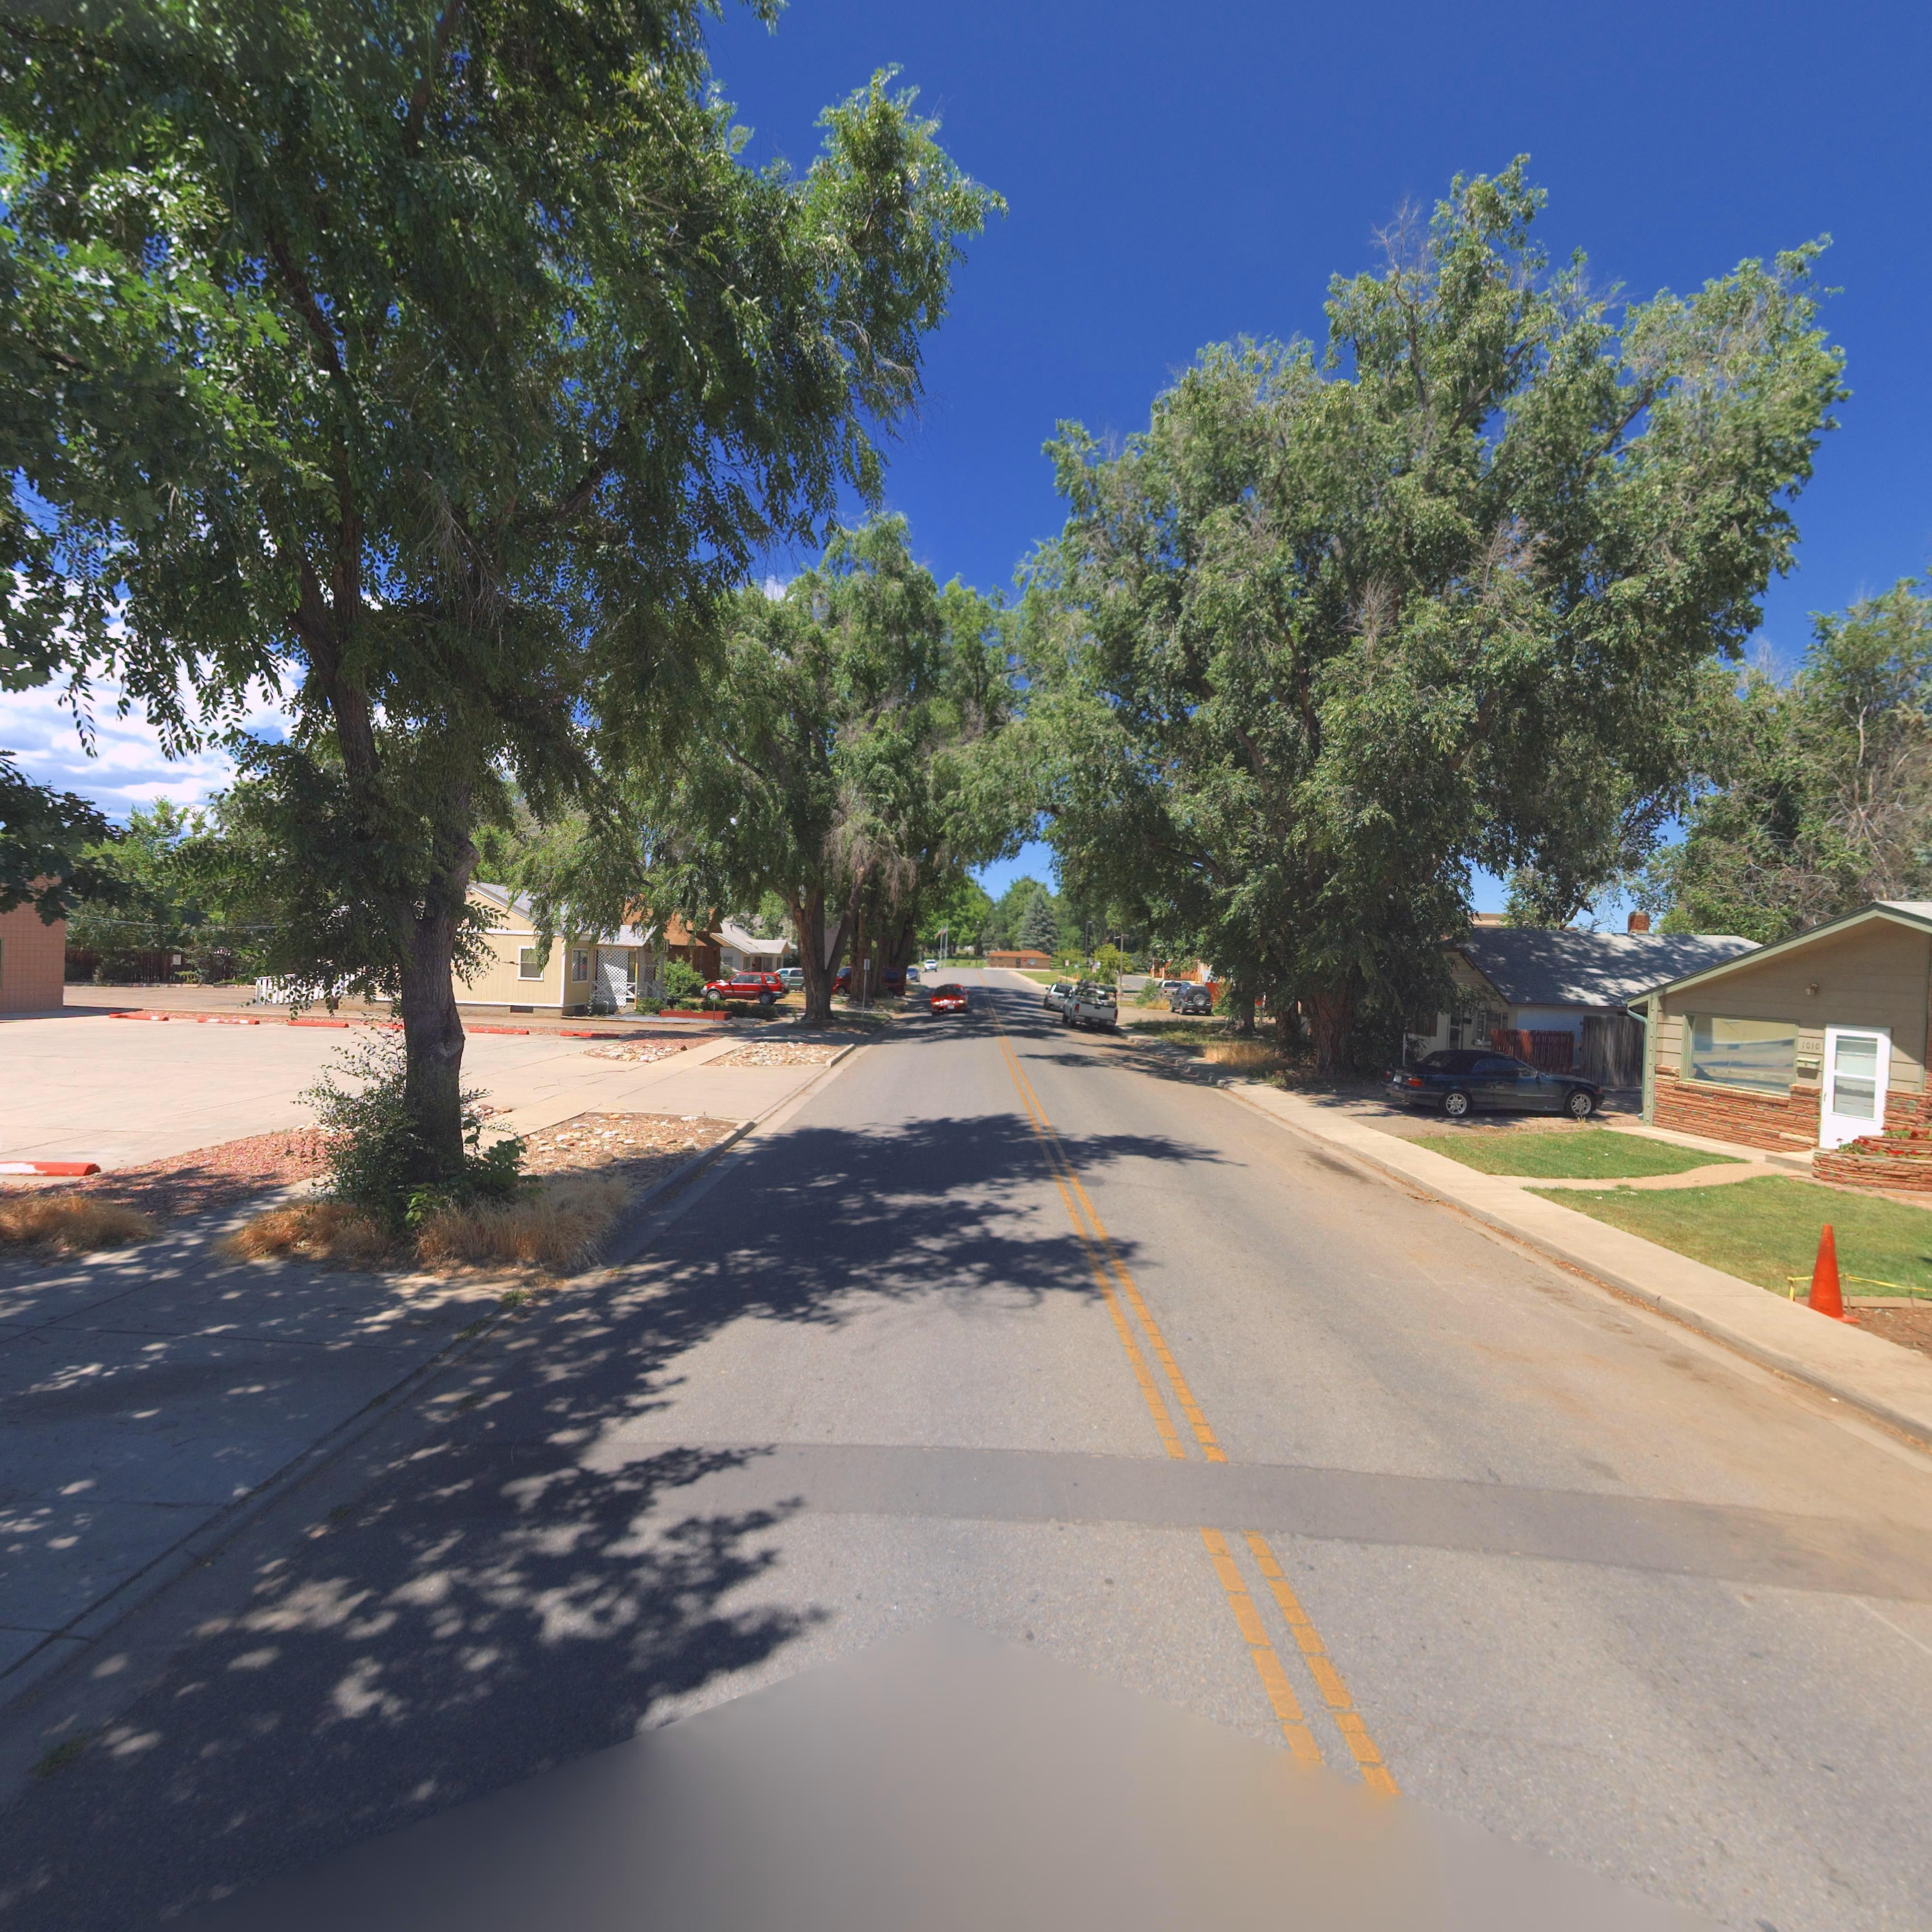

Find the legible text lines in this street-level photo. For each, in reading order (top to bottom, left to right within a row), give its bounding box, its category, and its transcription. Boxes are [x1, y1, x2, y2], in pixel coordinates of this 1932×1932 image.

[661, 940, 667, 951] StreetNumber: 13
[1801, 1040, 1820, 1050] StreetNumber: 1010